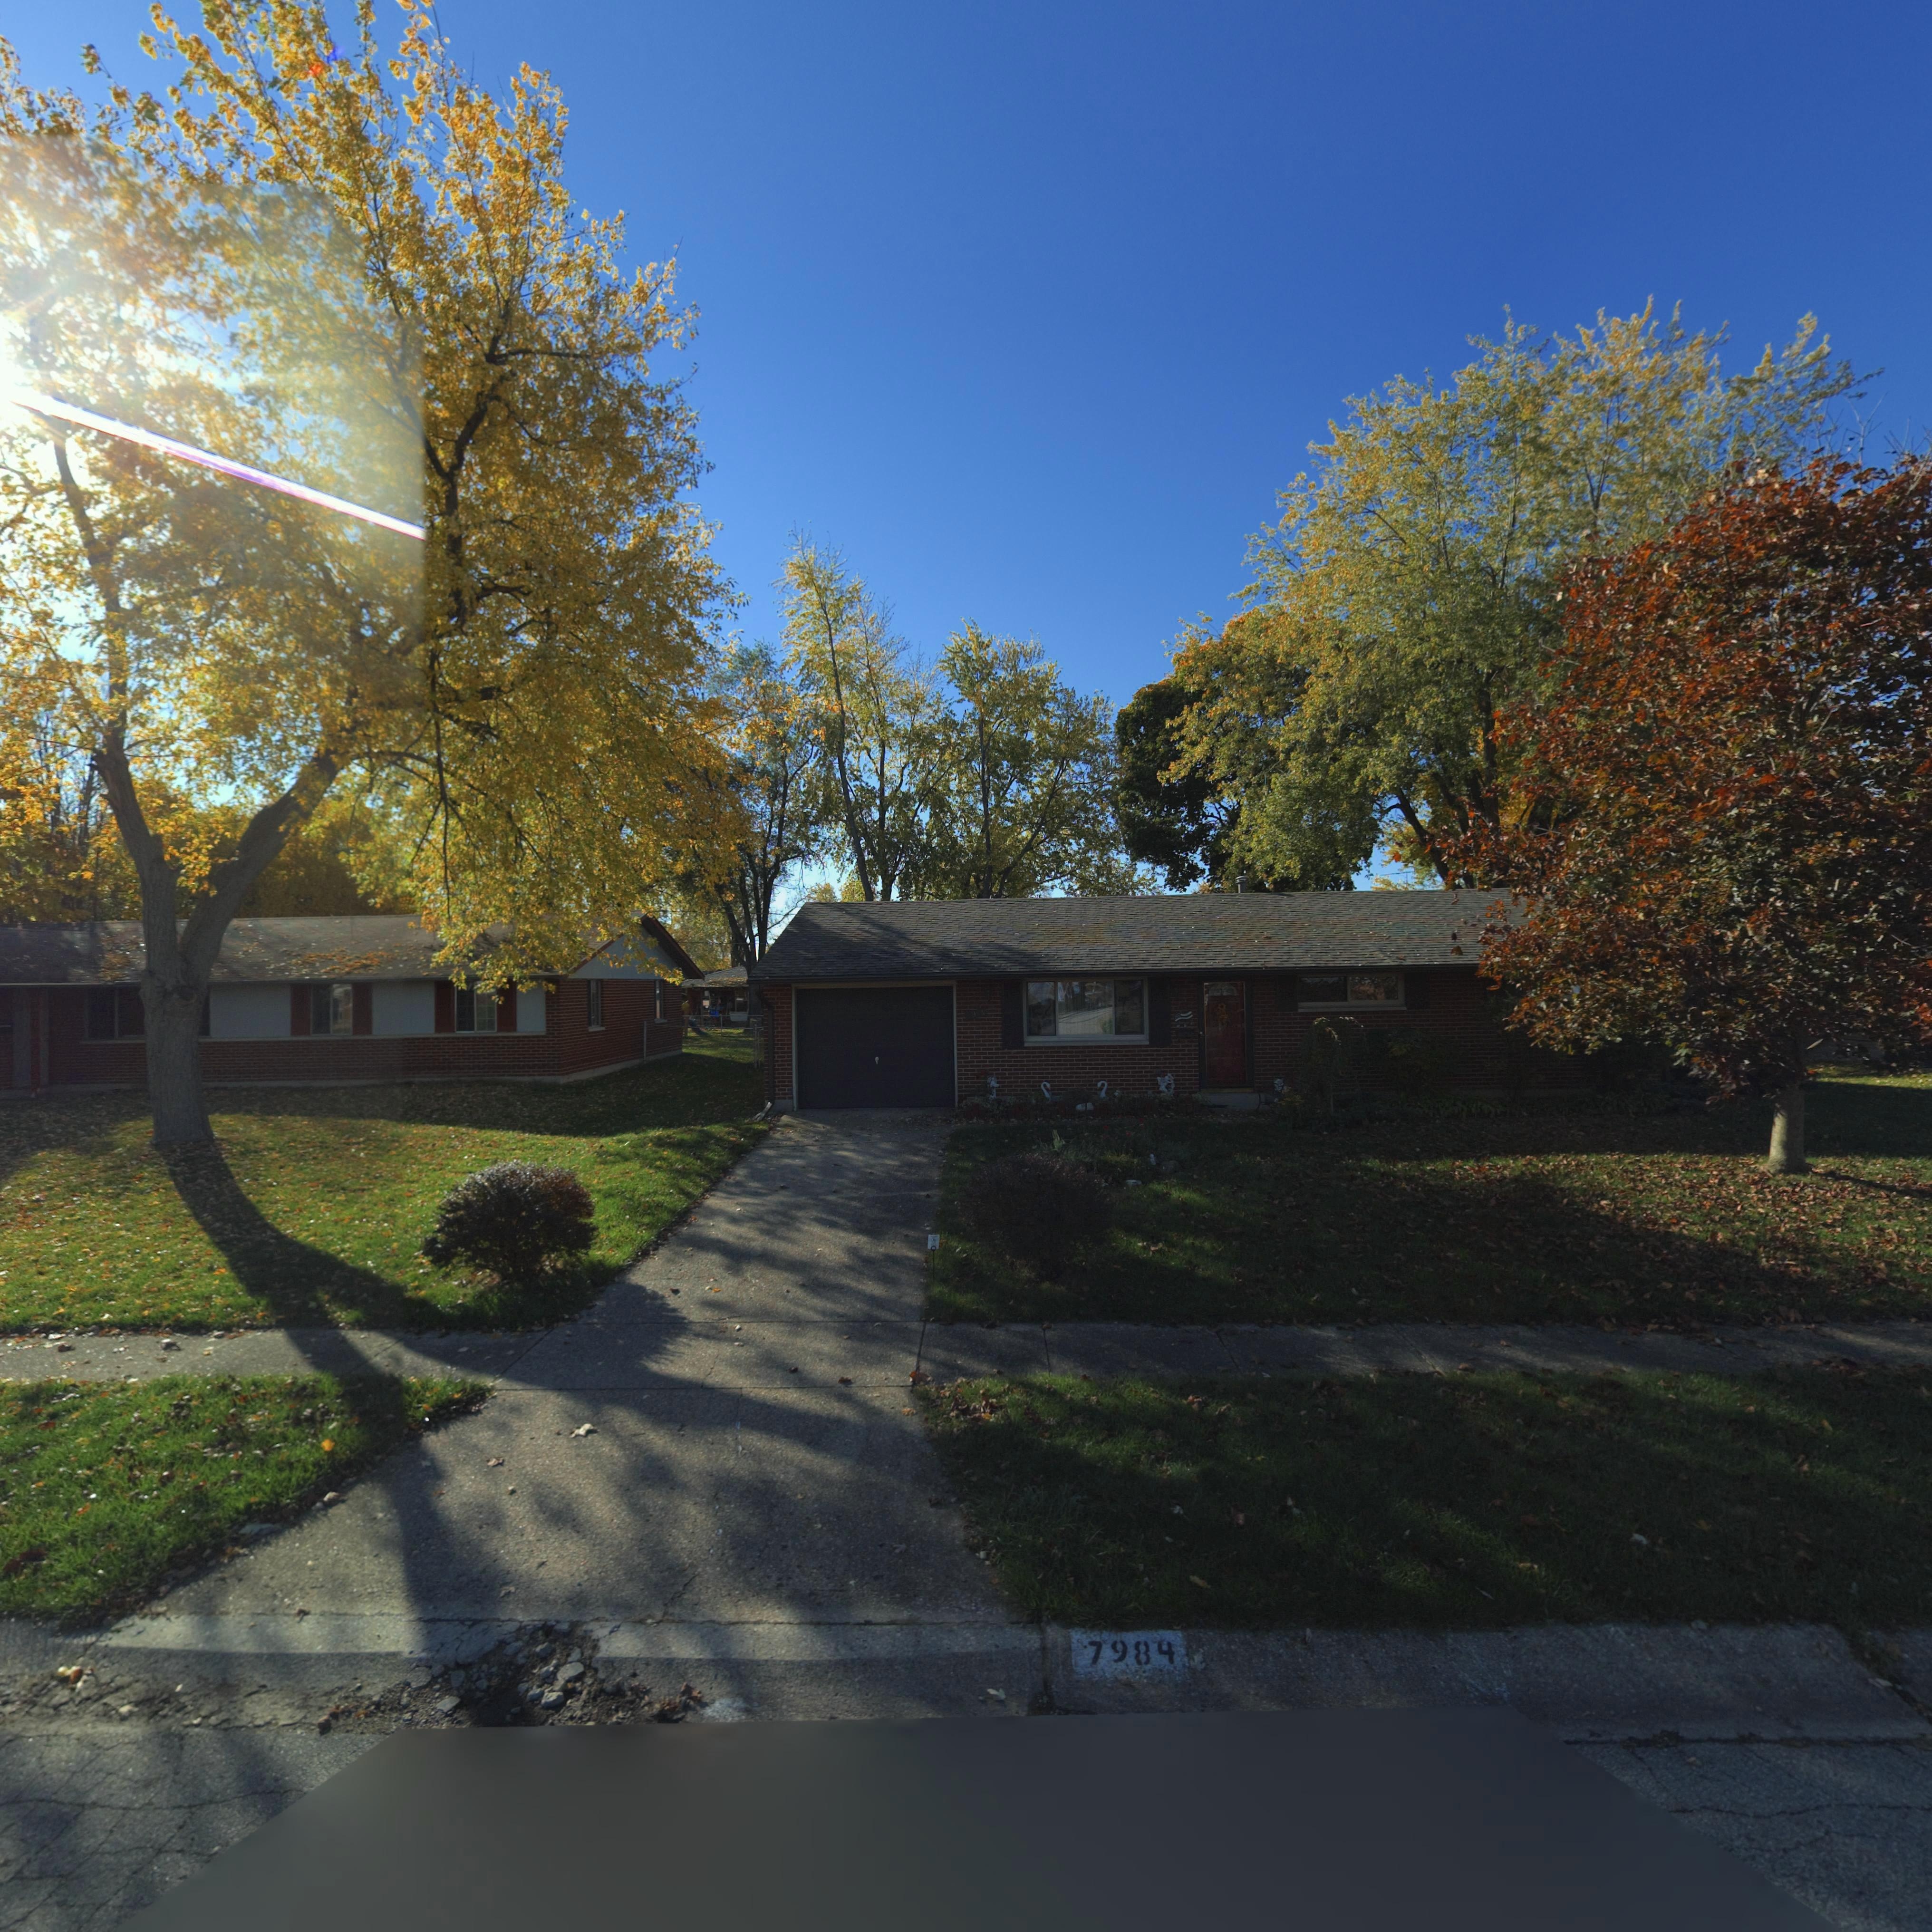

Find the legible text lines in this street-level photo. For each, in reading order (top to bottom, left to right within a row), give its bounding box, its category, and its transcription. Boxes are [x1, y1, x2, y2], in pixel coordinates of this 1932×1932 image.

[966, 1007, 987, 1020] StreetNumber: *9**
[1087, 1639, 1176, 1665] StreetNumber: 7984